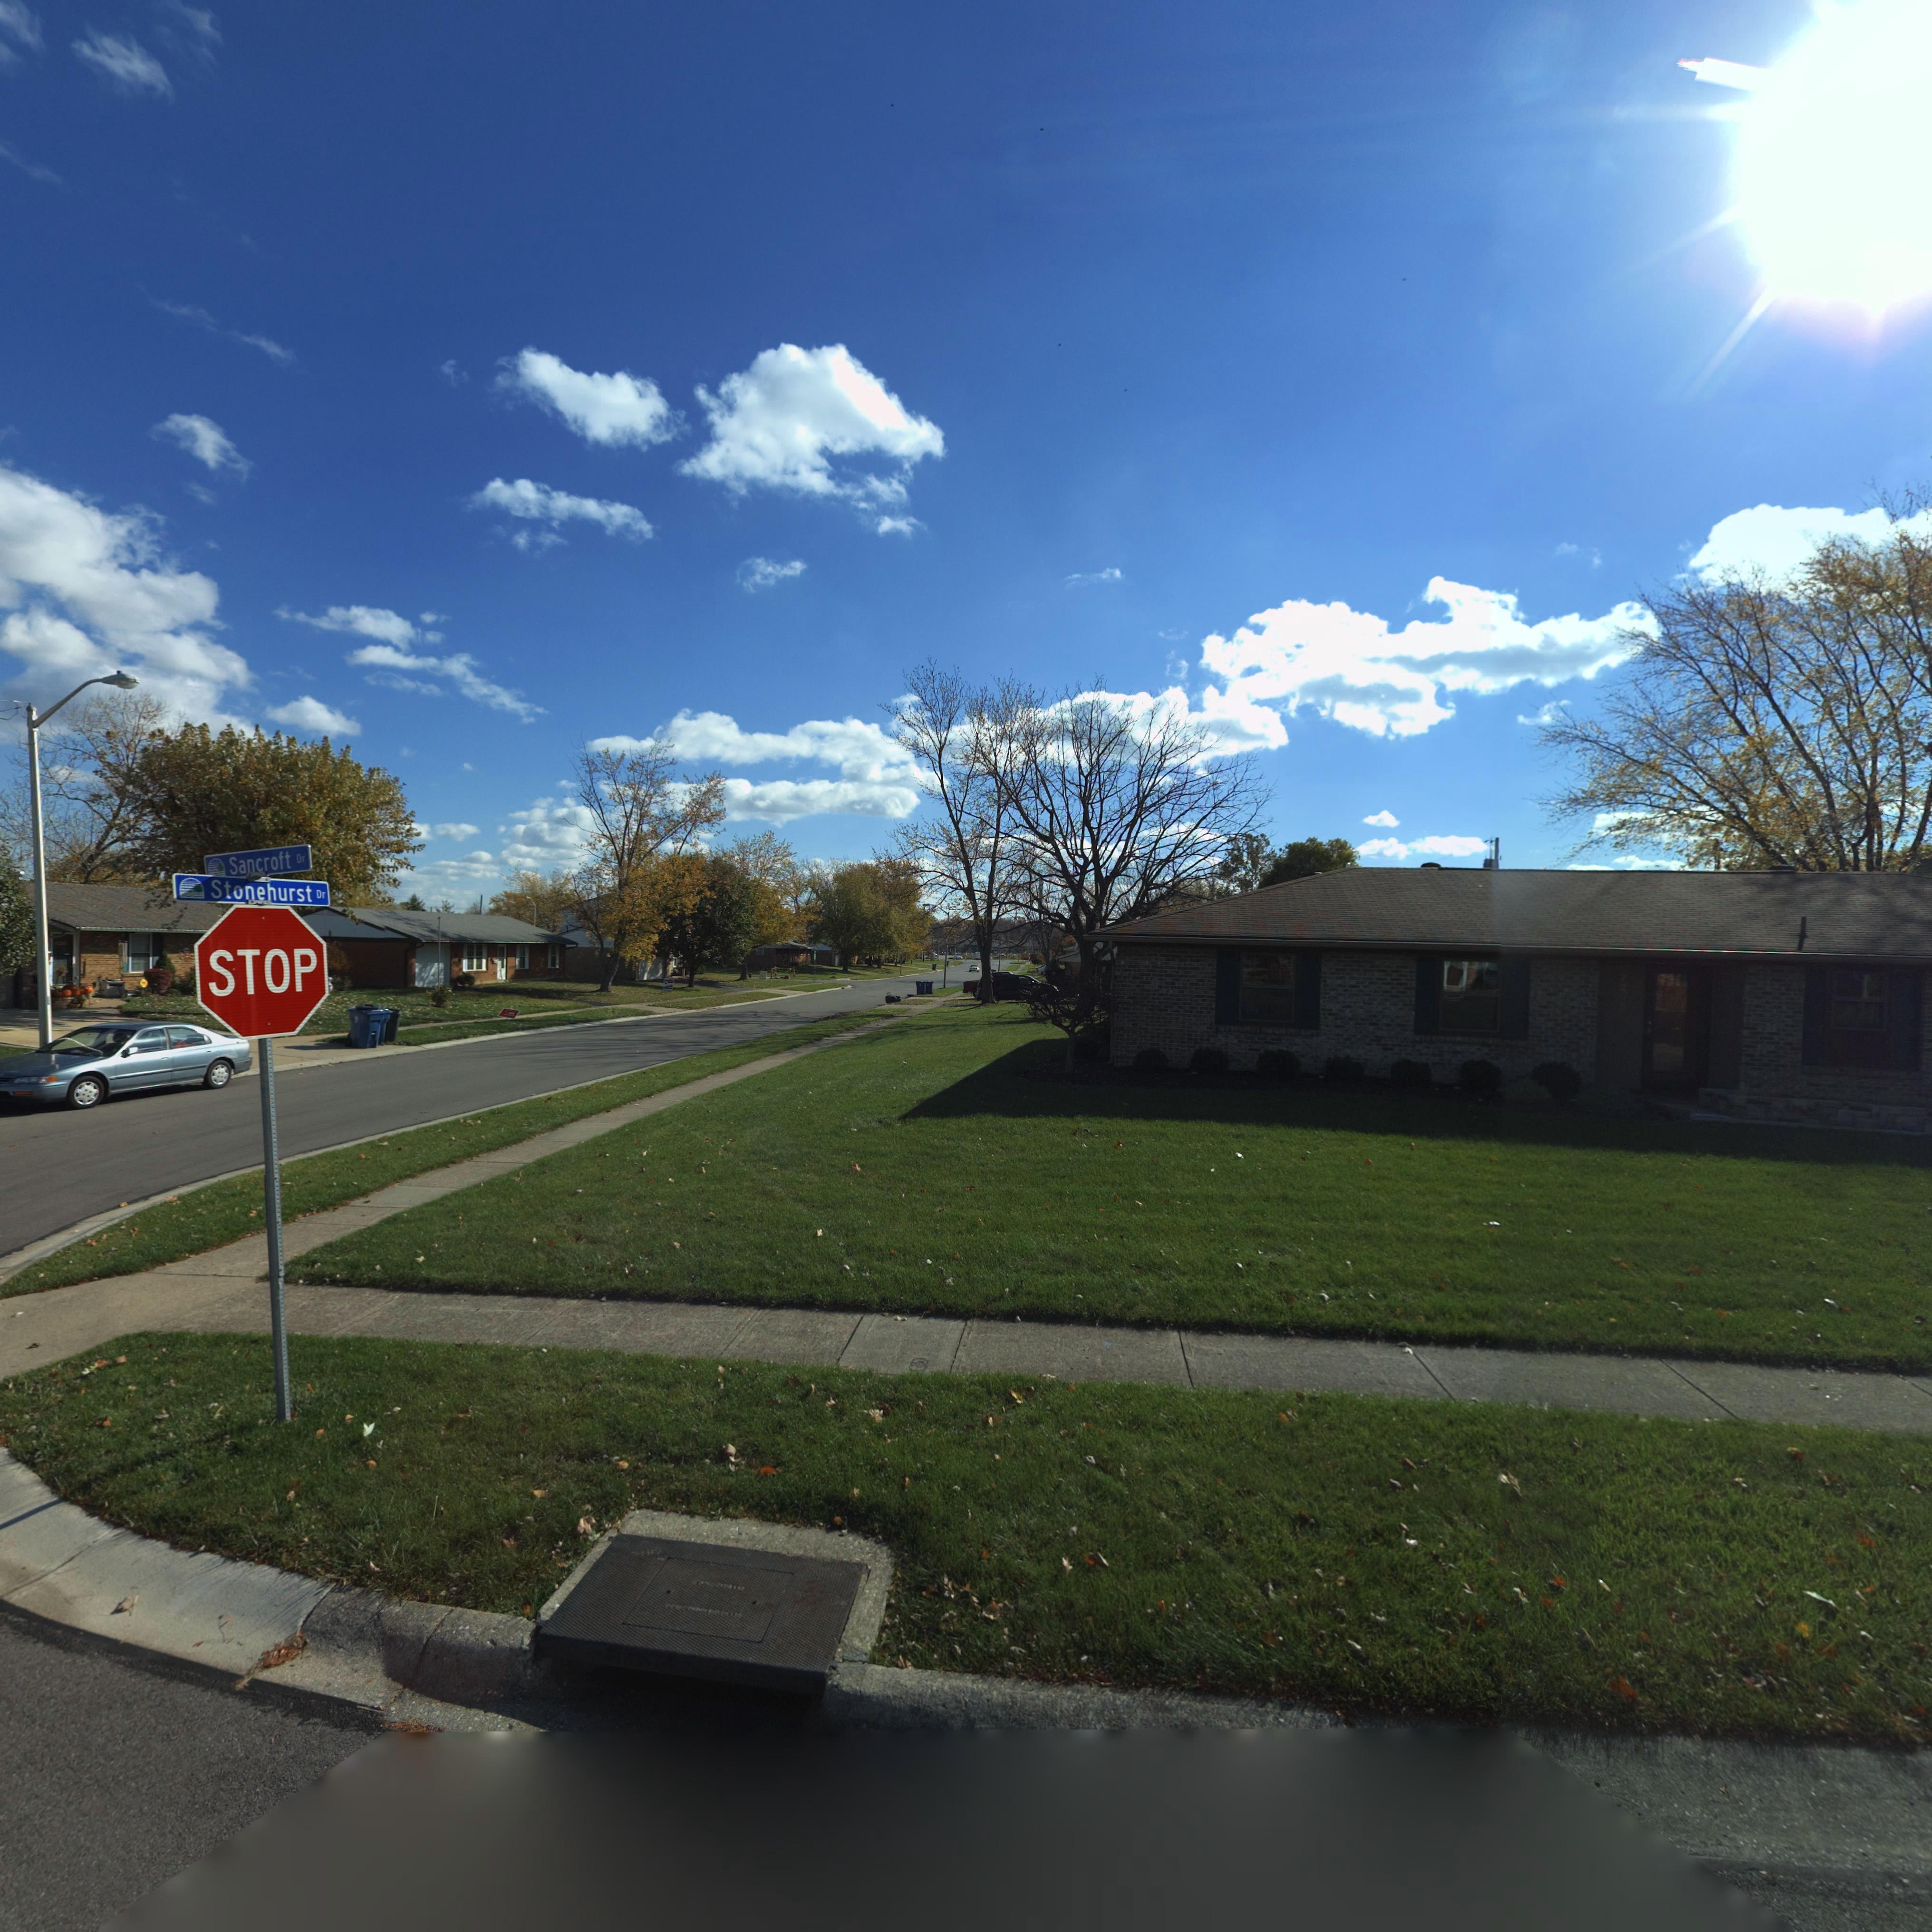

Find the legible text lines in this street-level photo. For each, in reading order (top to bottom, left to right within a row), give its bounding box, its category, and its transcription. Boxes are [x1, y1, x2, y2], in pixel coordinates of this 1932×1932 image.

[1617, 972, 1629, 1012] StreetNumber: 72**